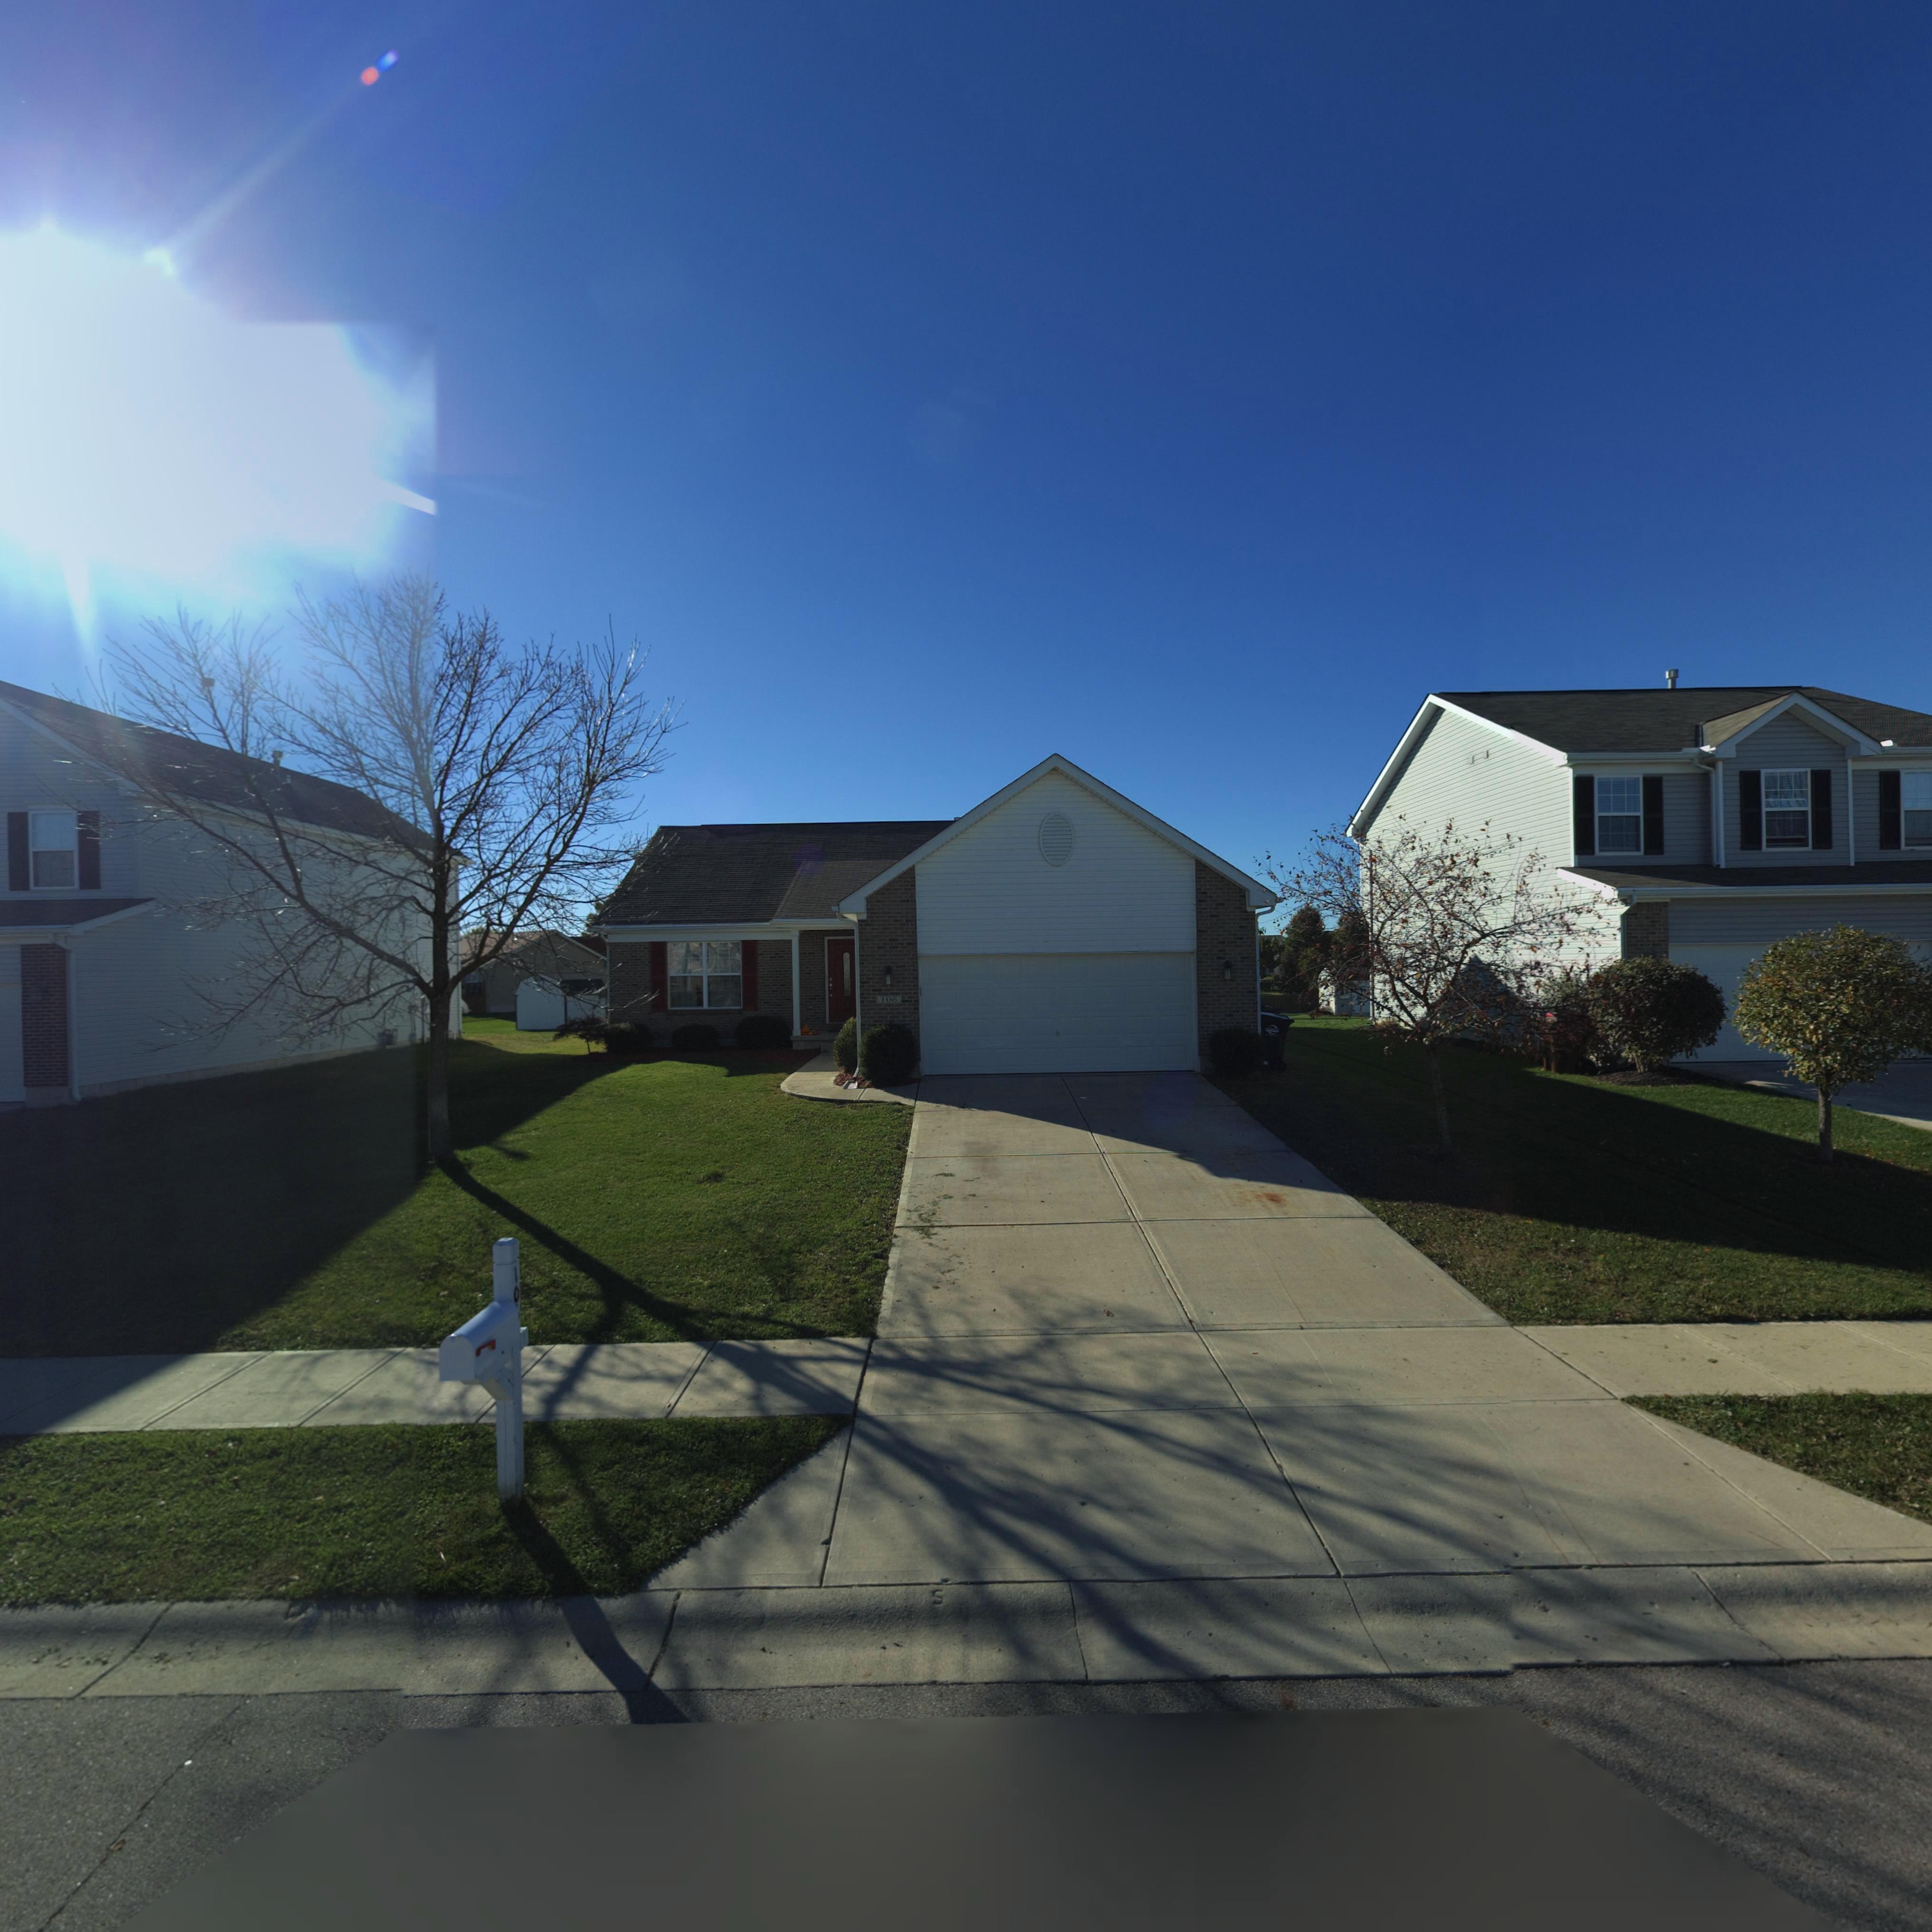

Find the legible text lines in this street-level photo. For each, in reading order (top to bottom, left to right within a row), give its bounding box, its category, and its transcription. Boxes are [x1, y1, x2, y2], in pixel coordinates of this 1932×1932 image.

[881, 996, 898, 1003] StreetNumber: 106
[512, 1265, 520, 1304] StreetNumber: 10